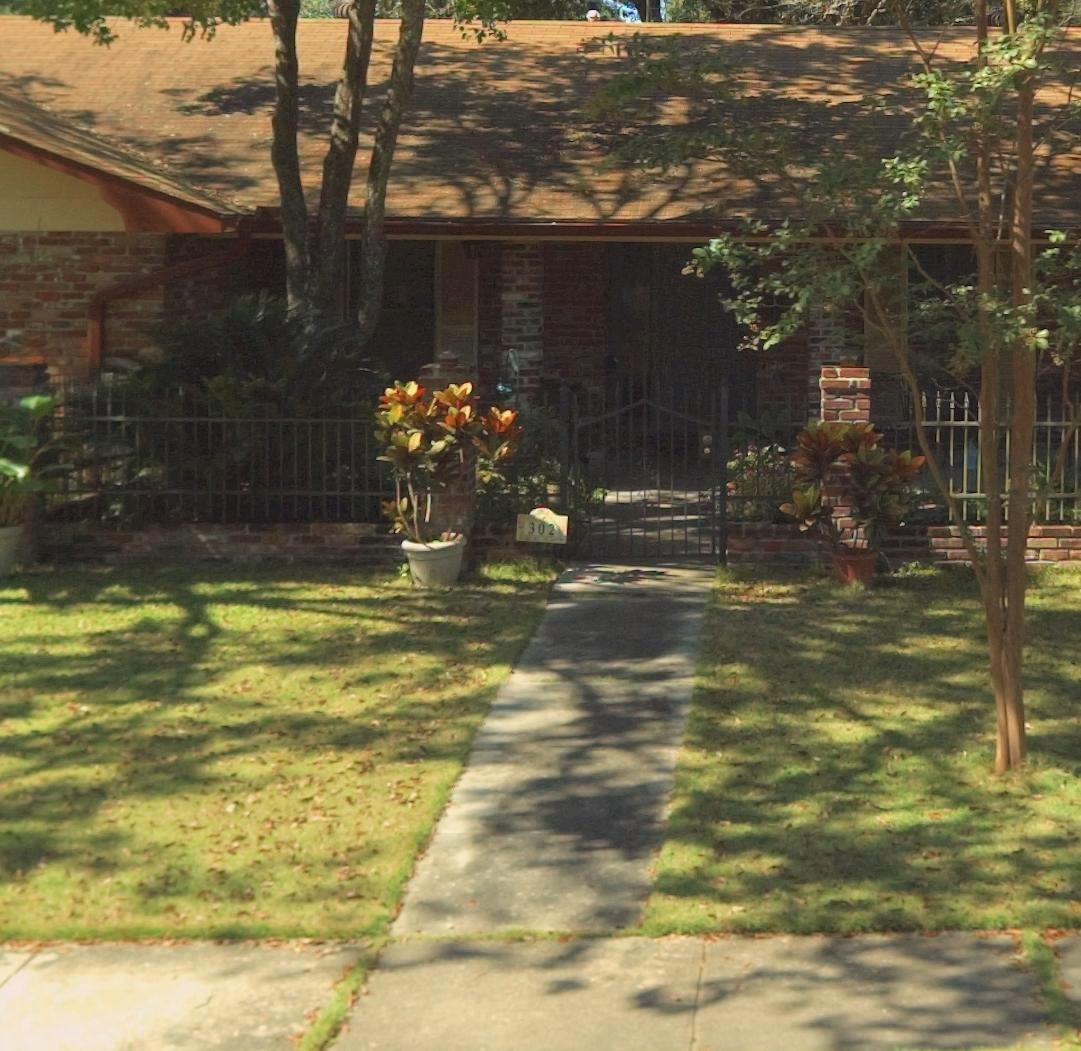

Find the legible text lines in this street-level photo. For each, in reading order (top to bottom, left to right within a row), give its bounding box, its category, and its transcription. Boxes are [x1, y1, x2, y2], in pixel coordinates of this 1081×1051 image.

[526, 520, 556, 537] StreetNumber: 302